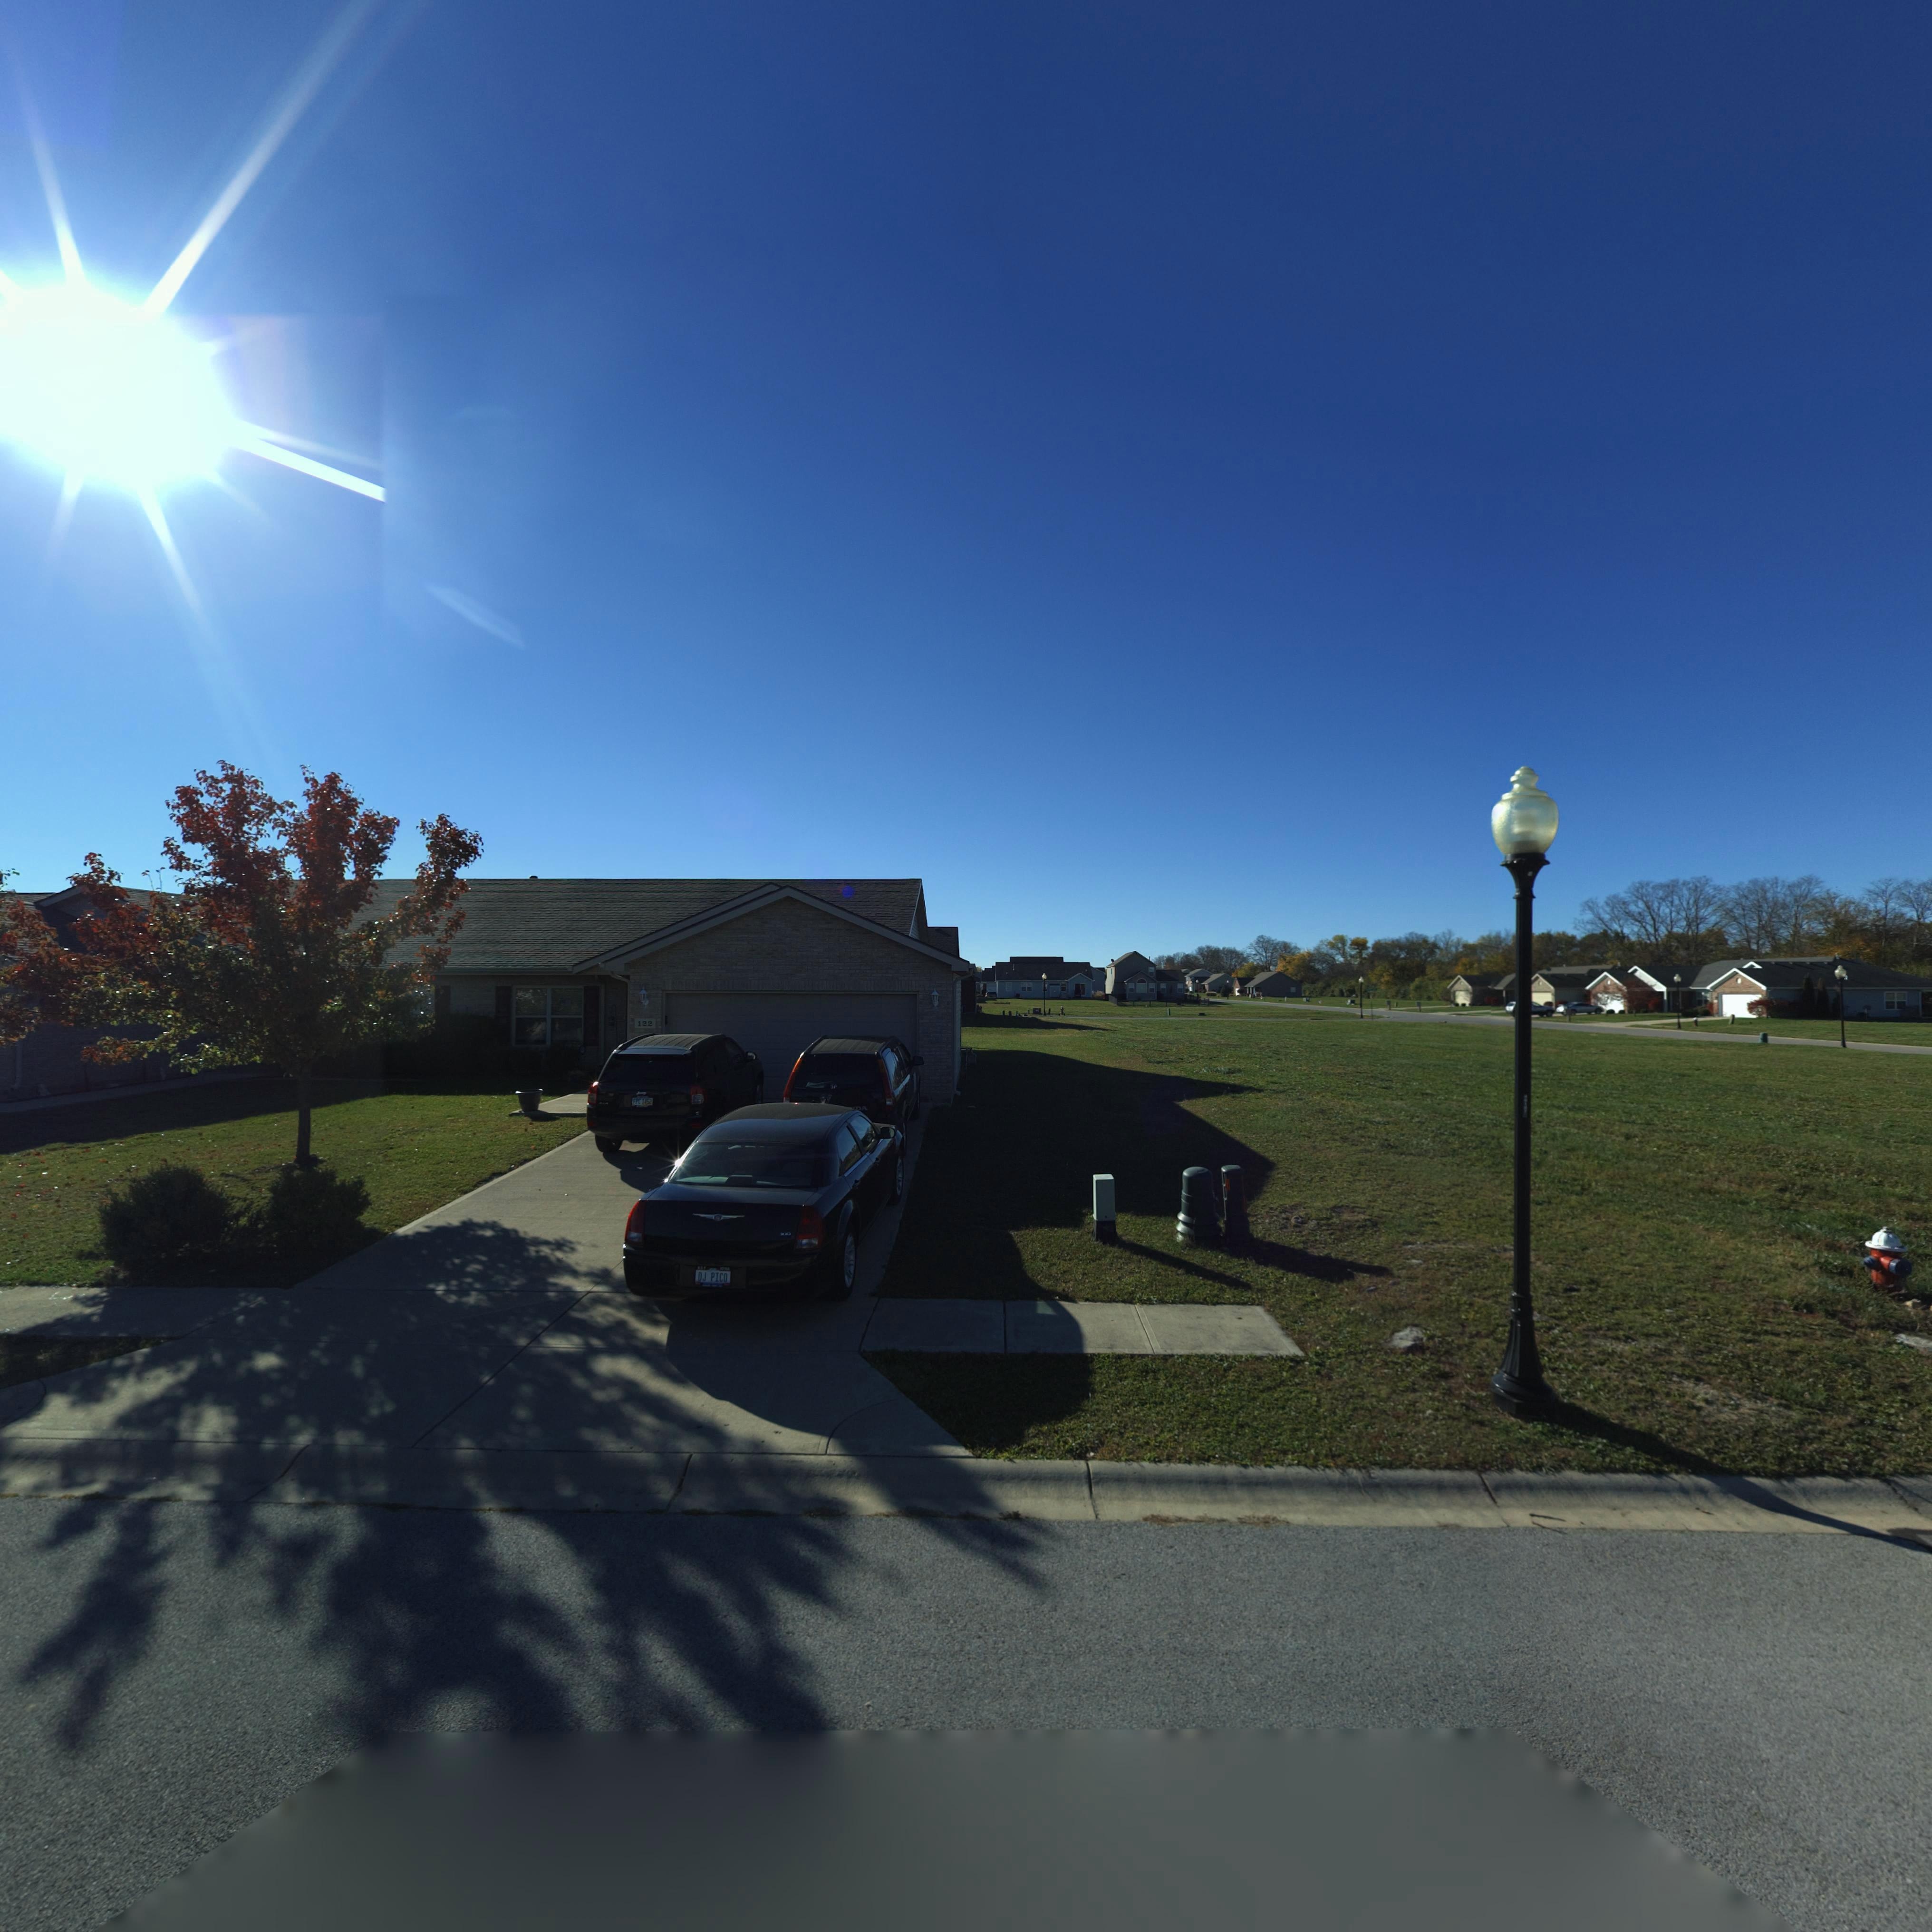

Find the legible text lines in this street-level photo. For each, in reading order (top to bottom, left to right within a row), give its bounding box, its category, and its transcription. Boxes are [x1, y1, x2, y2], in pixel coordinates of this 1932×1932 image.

[638, 1020, 653, 1027] StreetNumber: 122